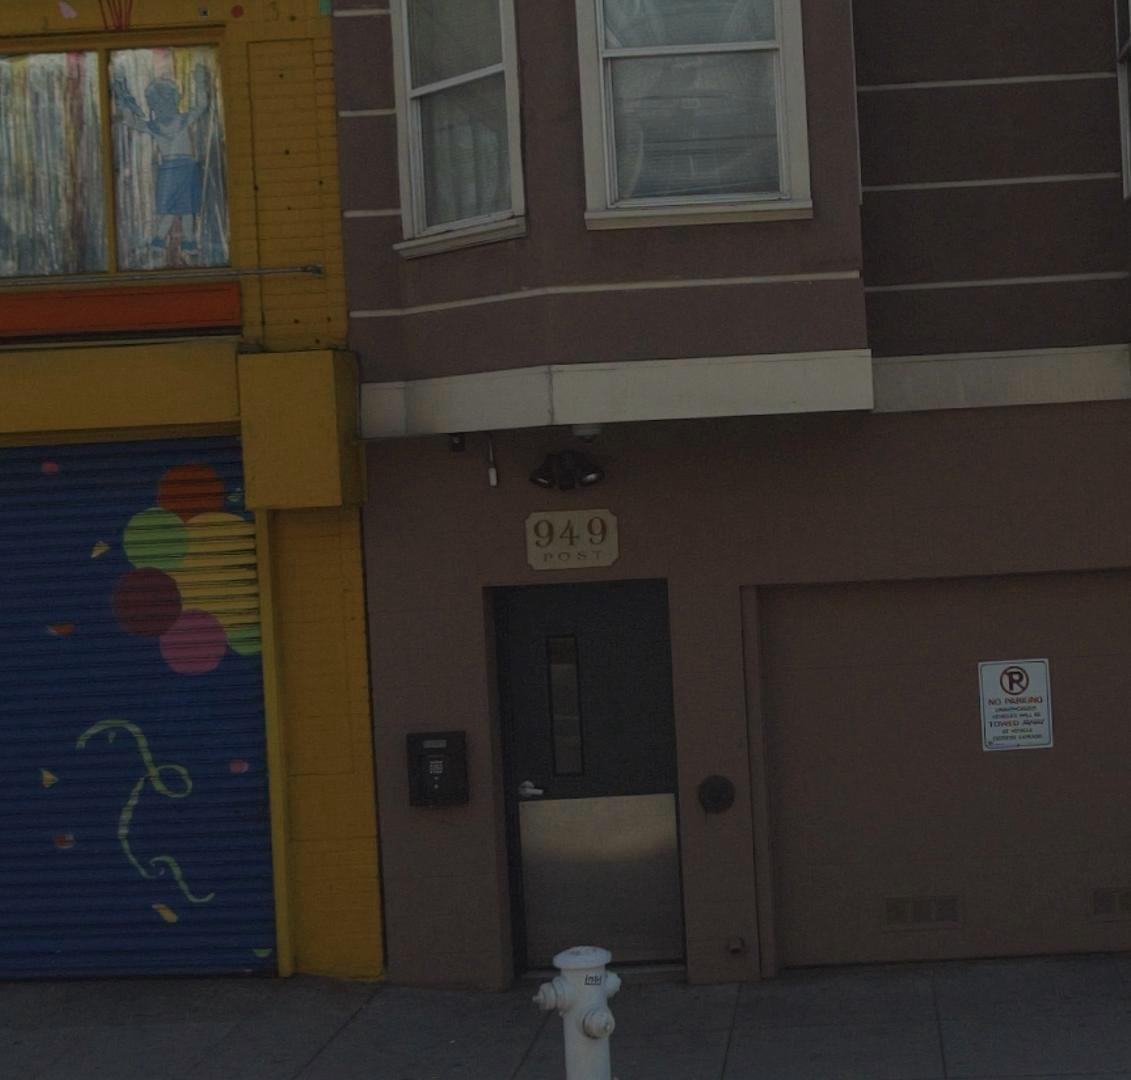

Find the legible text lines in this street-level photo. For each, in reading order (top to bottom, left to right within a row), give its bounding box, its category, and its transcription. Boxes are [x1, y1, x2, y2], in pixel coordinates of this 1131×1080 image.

[531, 515, 609, 549] StreetNumber: 949
[542, 550, 605, 564] StreetName: POST
[986, 696, 1045, 707] None: NO PARKING
[988, 717, 1046, 729] None: TOWED AWAY